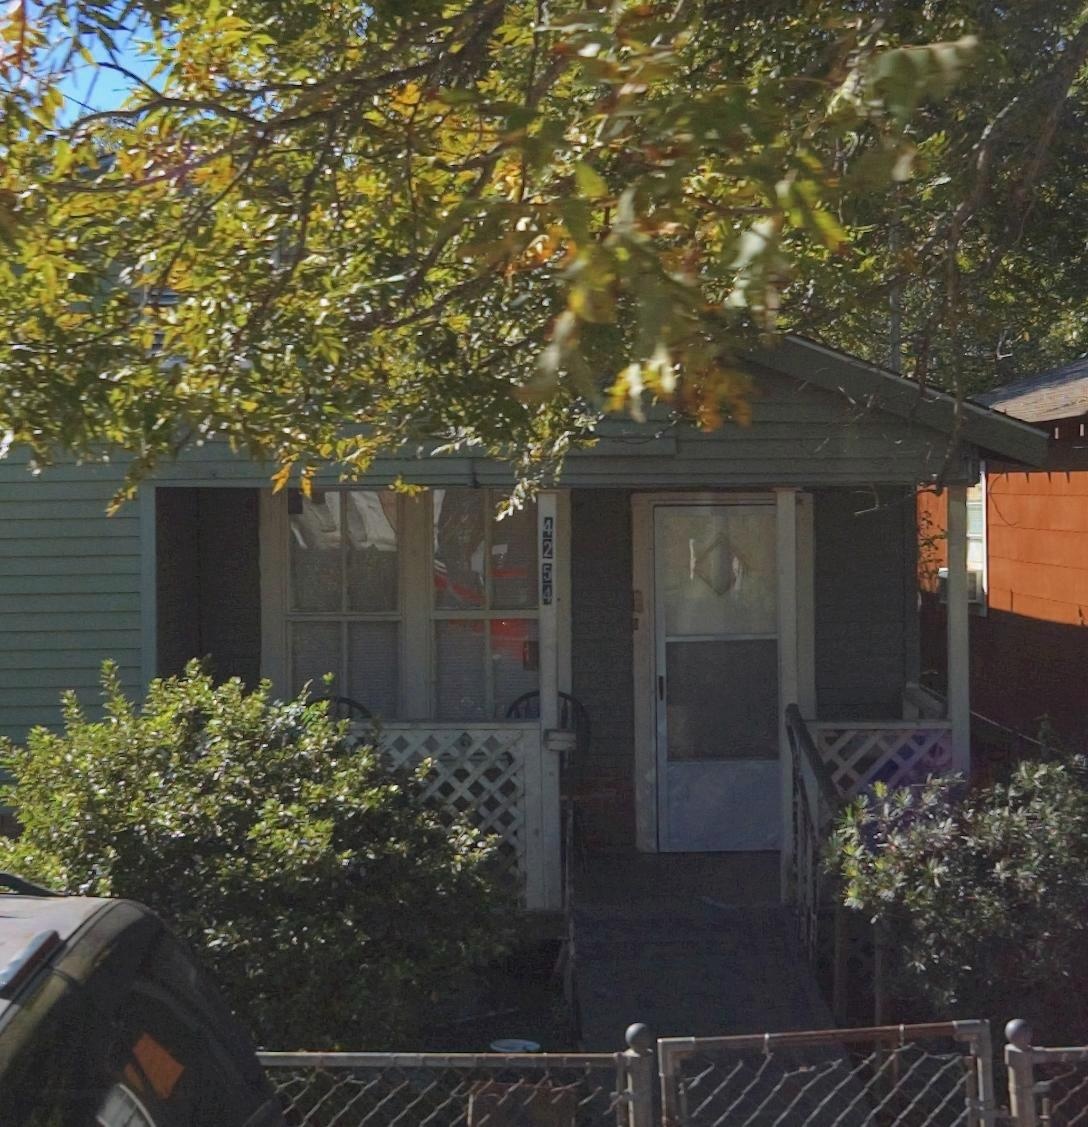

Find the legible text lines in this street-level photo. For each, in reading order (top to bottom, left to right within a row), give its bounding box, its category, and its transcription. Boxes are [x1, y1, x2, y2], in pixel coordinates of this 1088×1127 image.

[540, 517, 554, 607] StreetNumber: 42 54